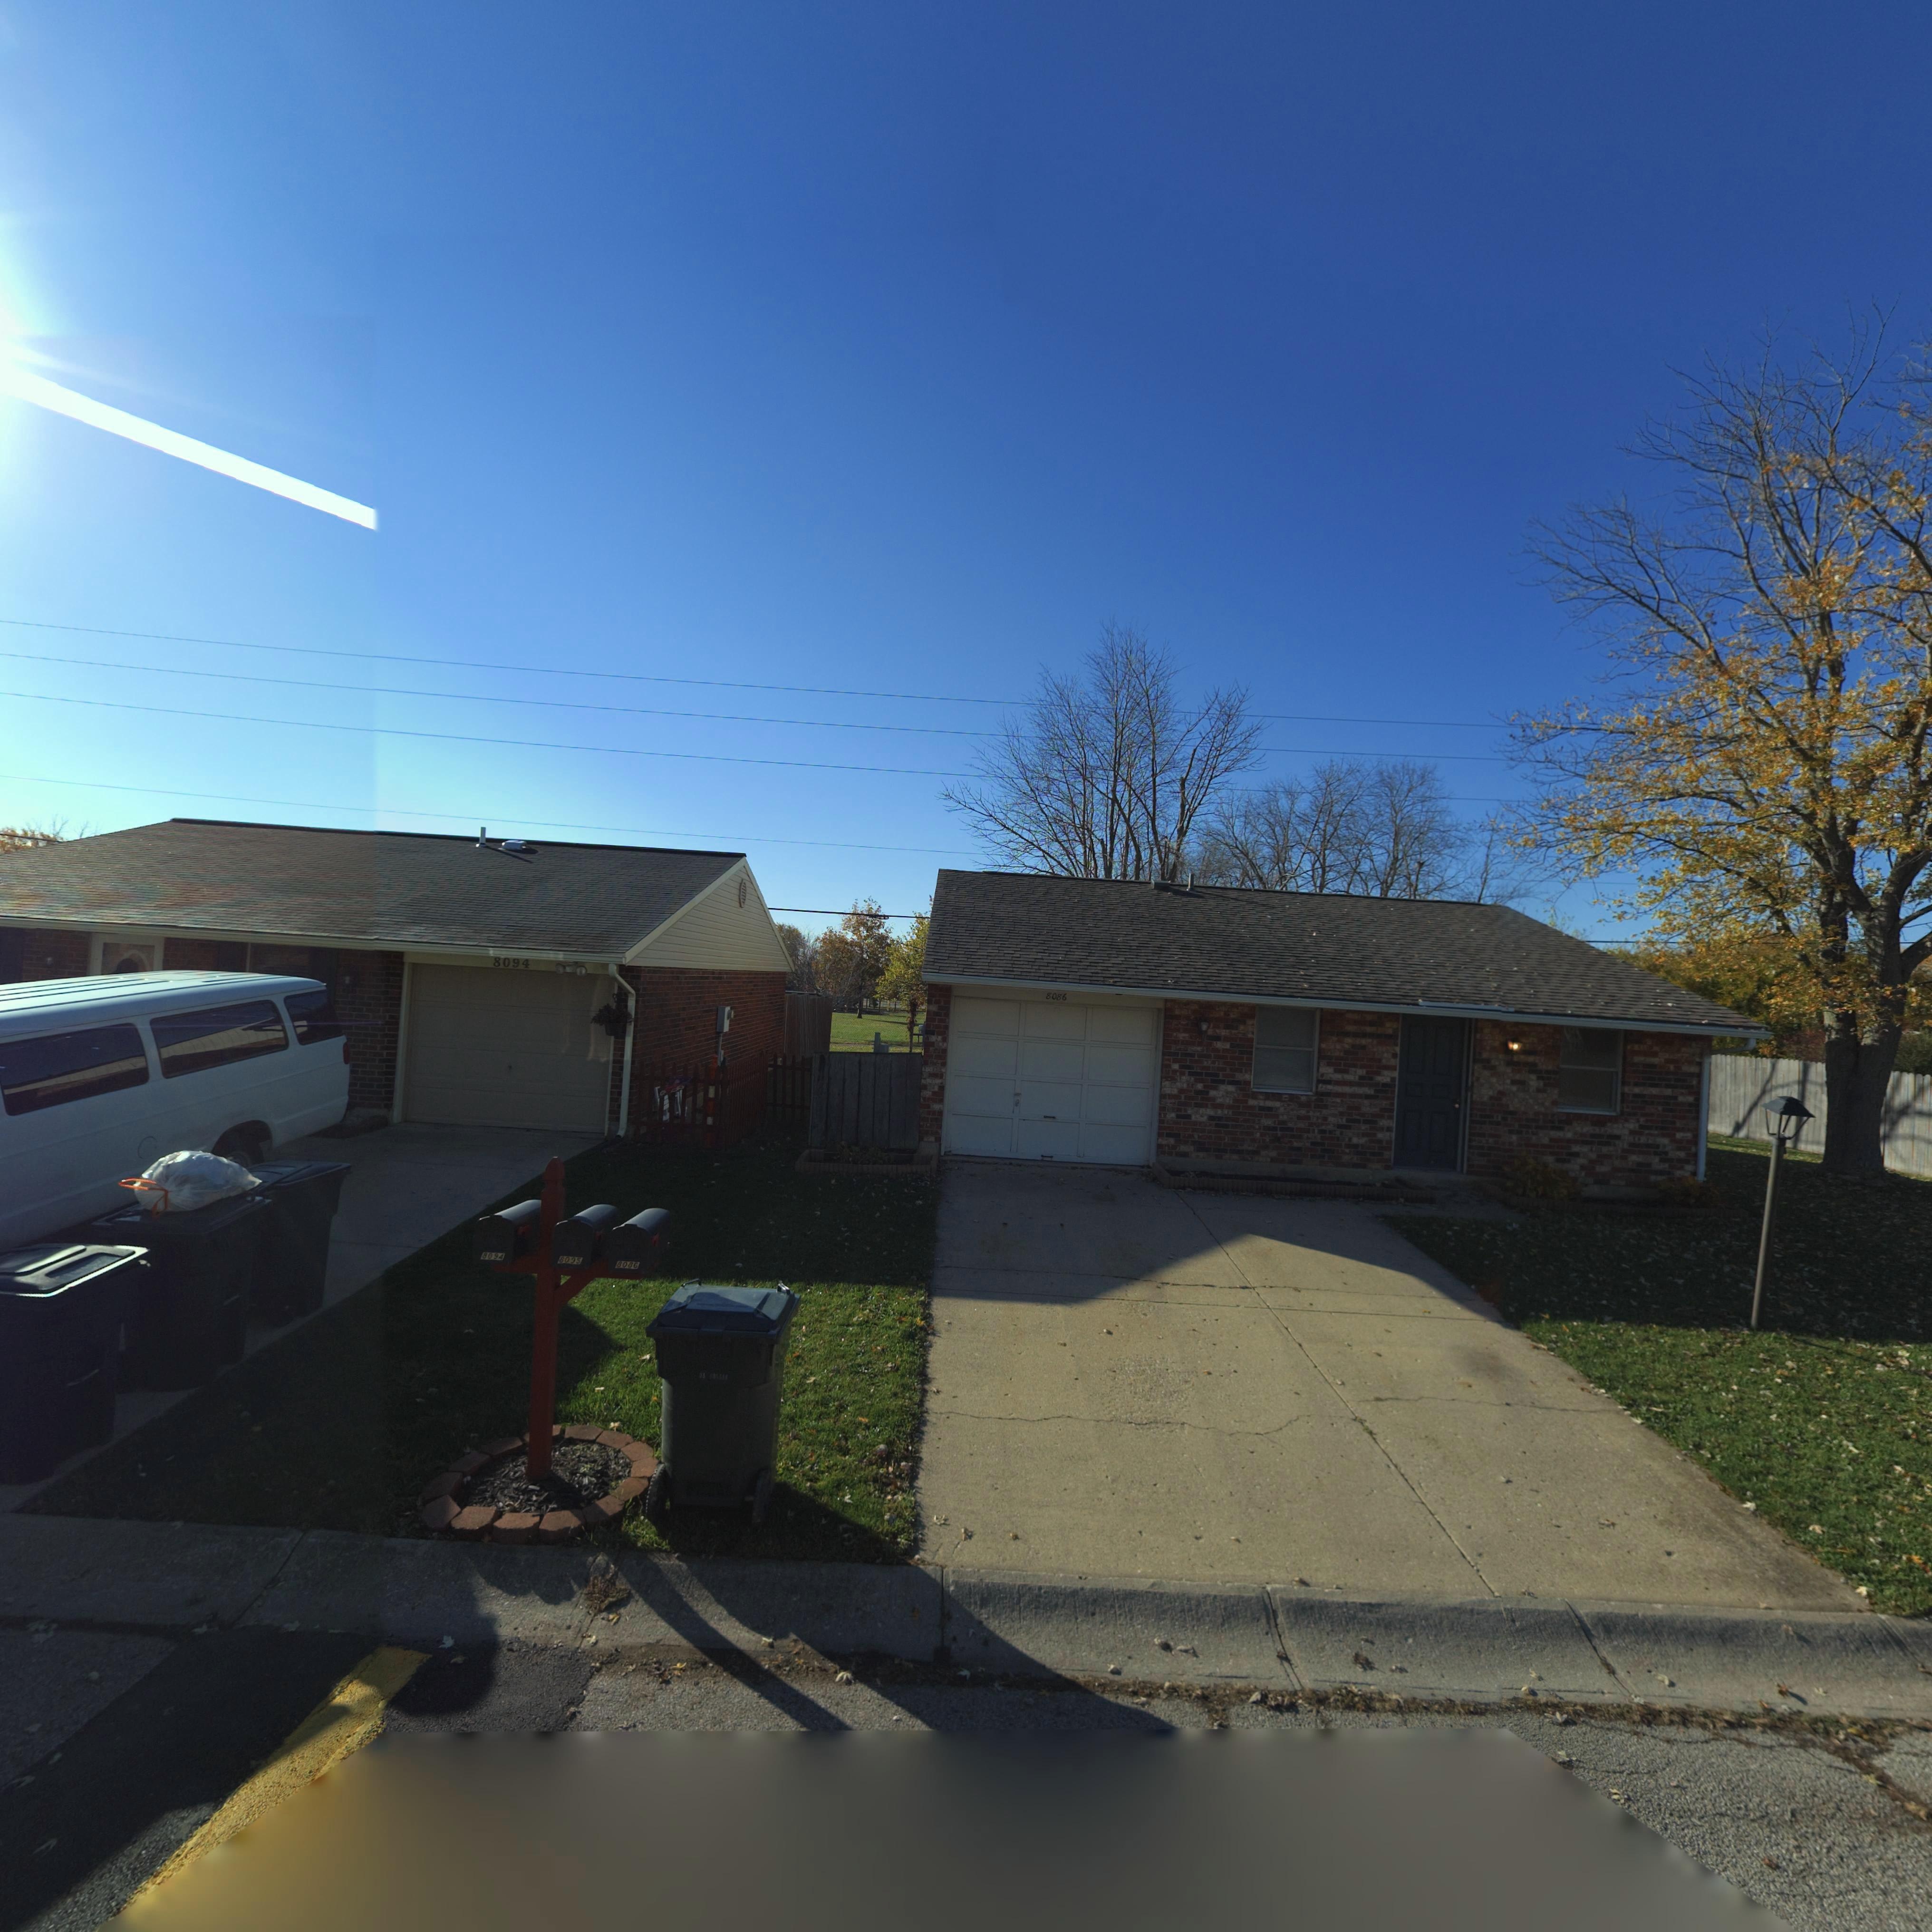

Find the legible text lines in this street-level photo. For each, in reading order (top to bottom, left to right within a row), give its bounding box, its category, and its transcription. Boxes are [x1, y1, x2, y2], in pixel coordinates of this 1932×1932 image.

[492, 956, 531, 969] StreetNumber: 8094
[1044, 992, 1068, 1002] StreetNumber: 8086
[481, 1251, 504, 1261] StreetNumber: 8094
[557, 1256, 583, 1265] StreetNumber: 8095
[616, 1260, 639, 1269] StreetNumber: 8086